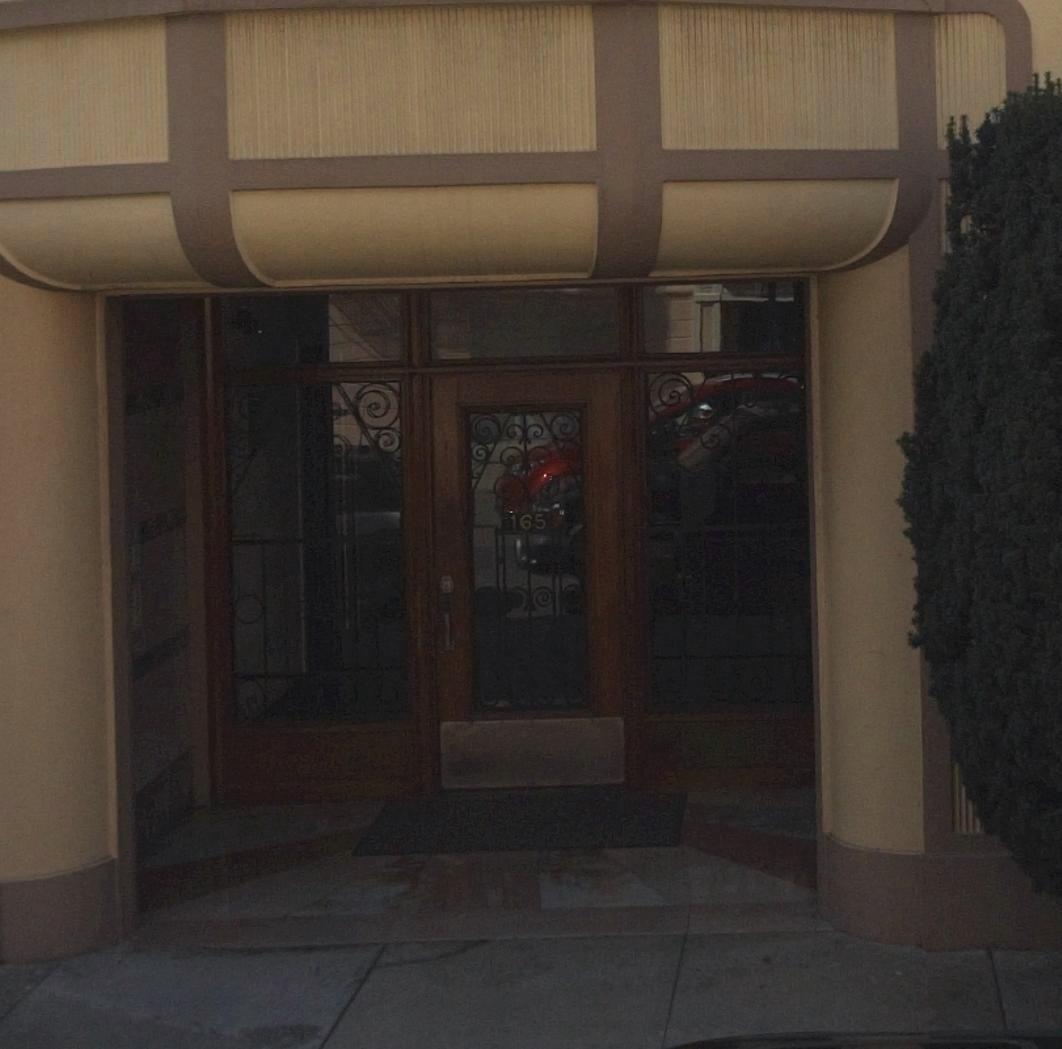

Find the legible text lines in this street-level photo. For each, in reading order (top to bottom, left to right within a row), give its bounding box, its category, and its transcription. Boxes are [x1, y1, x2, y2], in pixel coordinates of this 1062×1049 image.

[508, 511, 549, 534] StreetNumber: 165